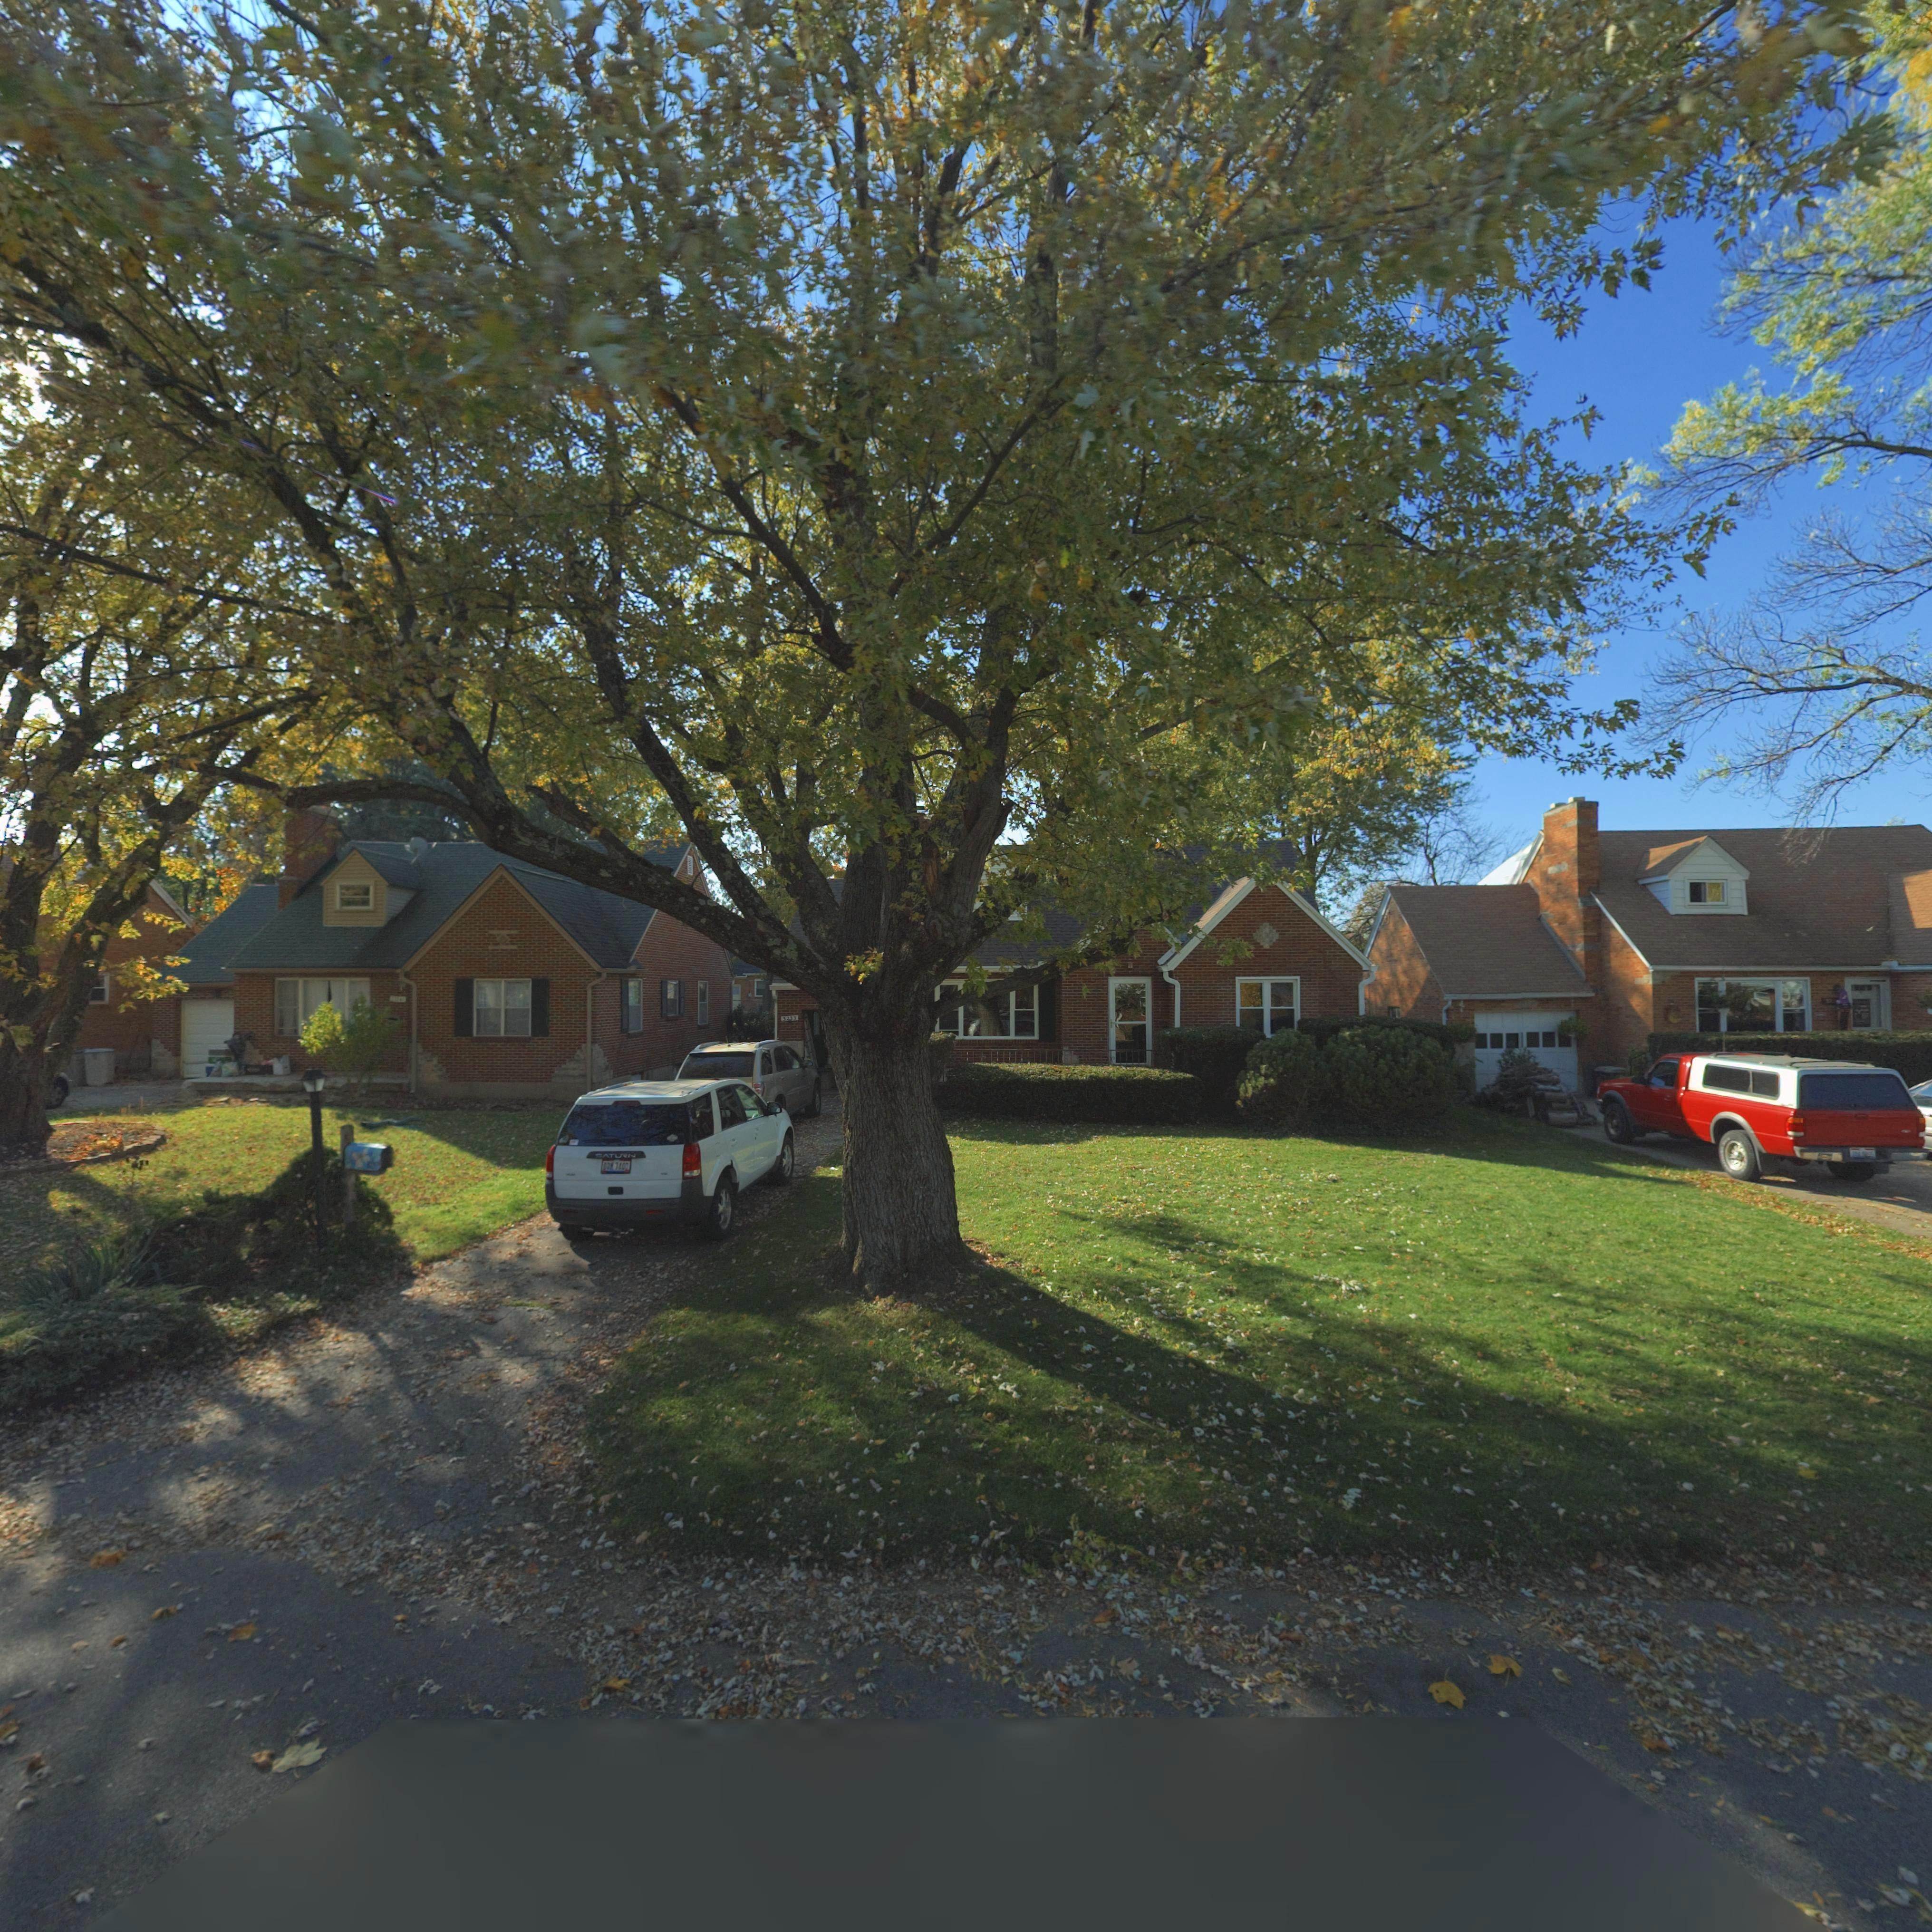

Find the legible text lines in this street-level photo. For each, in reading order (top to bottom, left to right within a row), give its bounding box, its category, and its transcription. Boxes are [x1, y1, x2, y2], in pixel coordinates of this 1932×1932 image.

[782, 1015, 797, 1022] StreetNumber: 3233